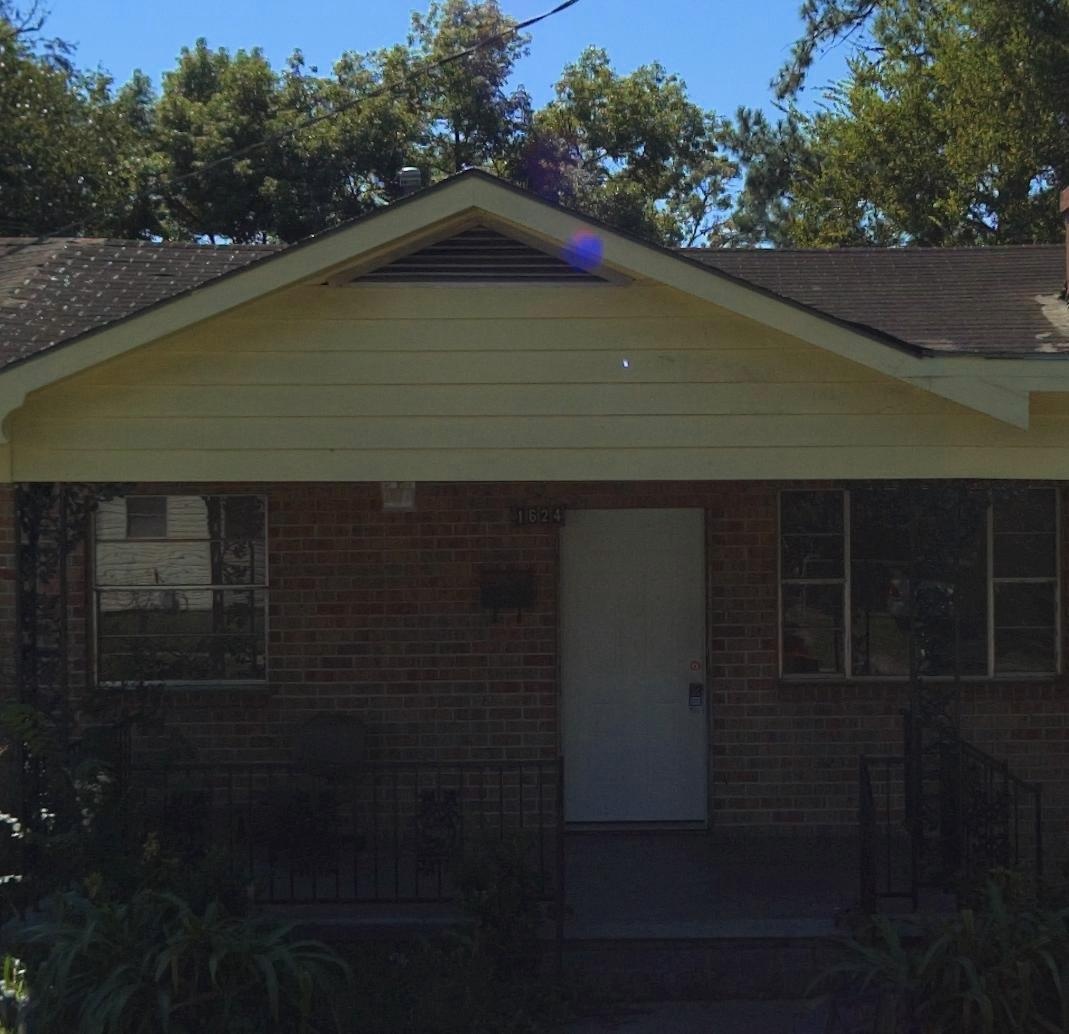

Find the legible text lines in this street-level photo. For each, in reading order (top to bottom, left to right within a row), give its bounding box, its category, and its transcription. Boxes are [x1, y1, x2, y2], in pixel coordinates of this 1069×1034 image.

[517, 506, 564, 526] StreetNumber: 1624